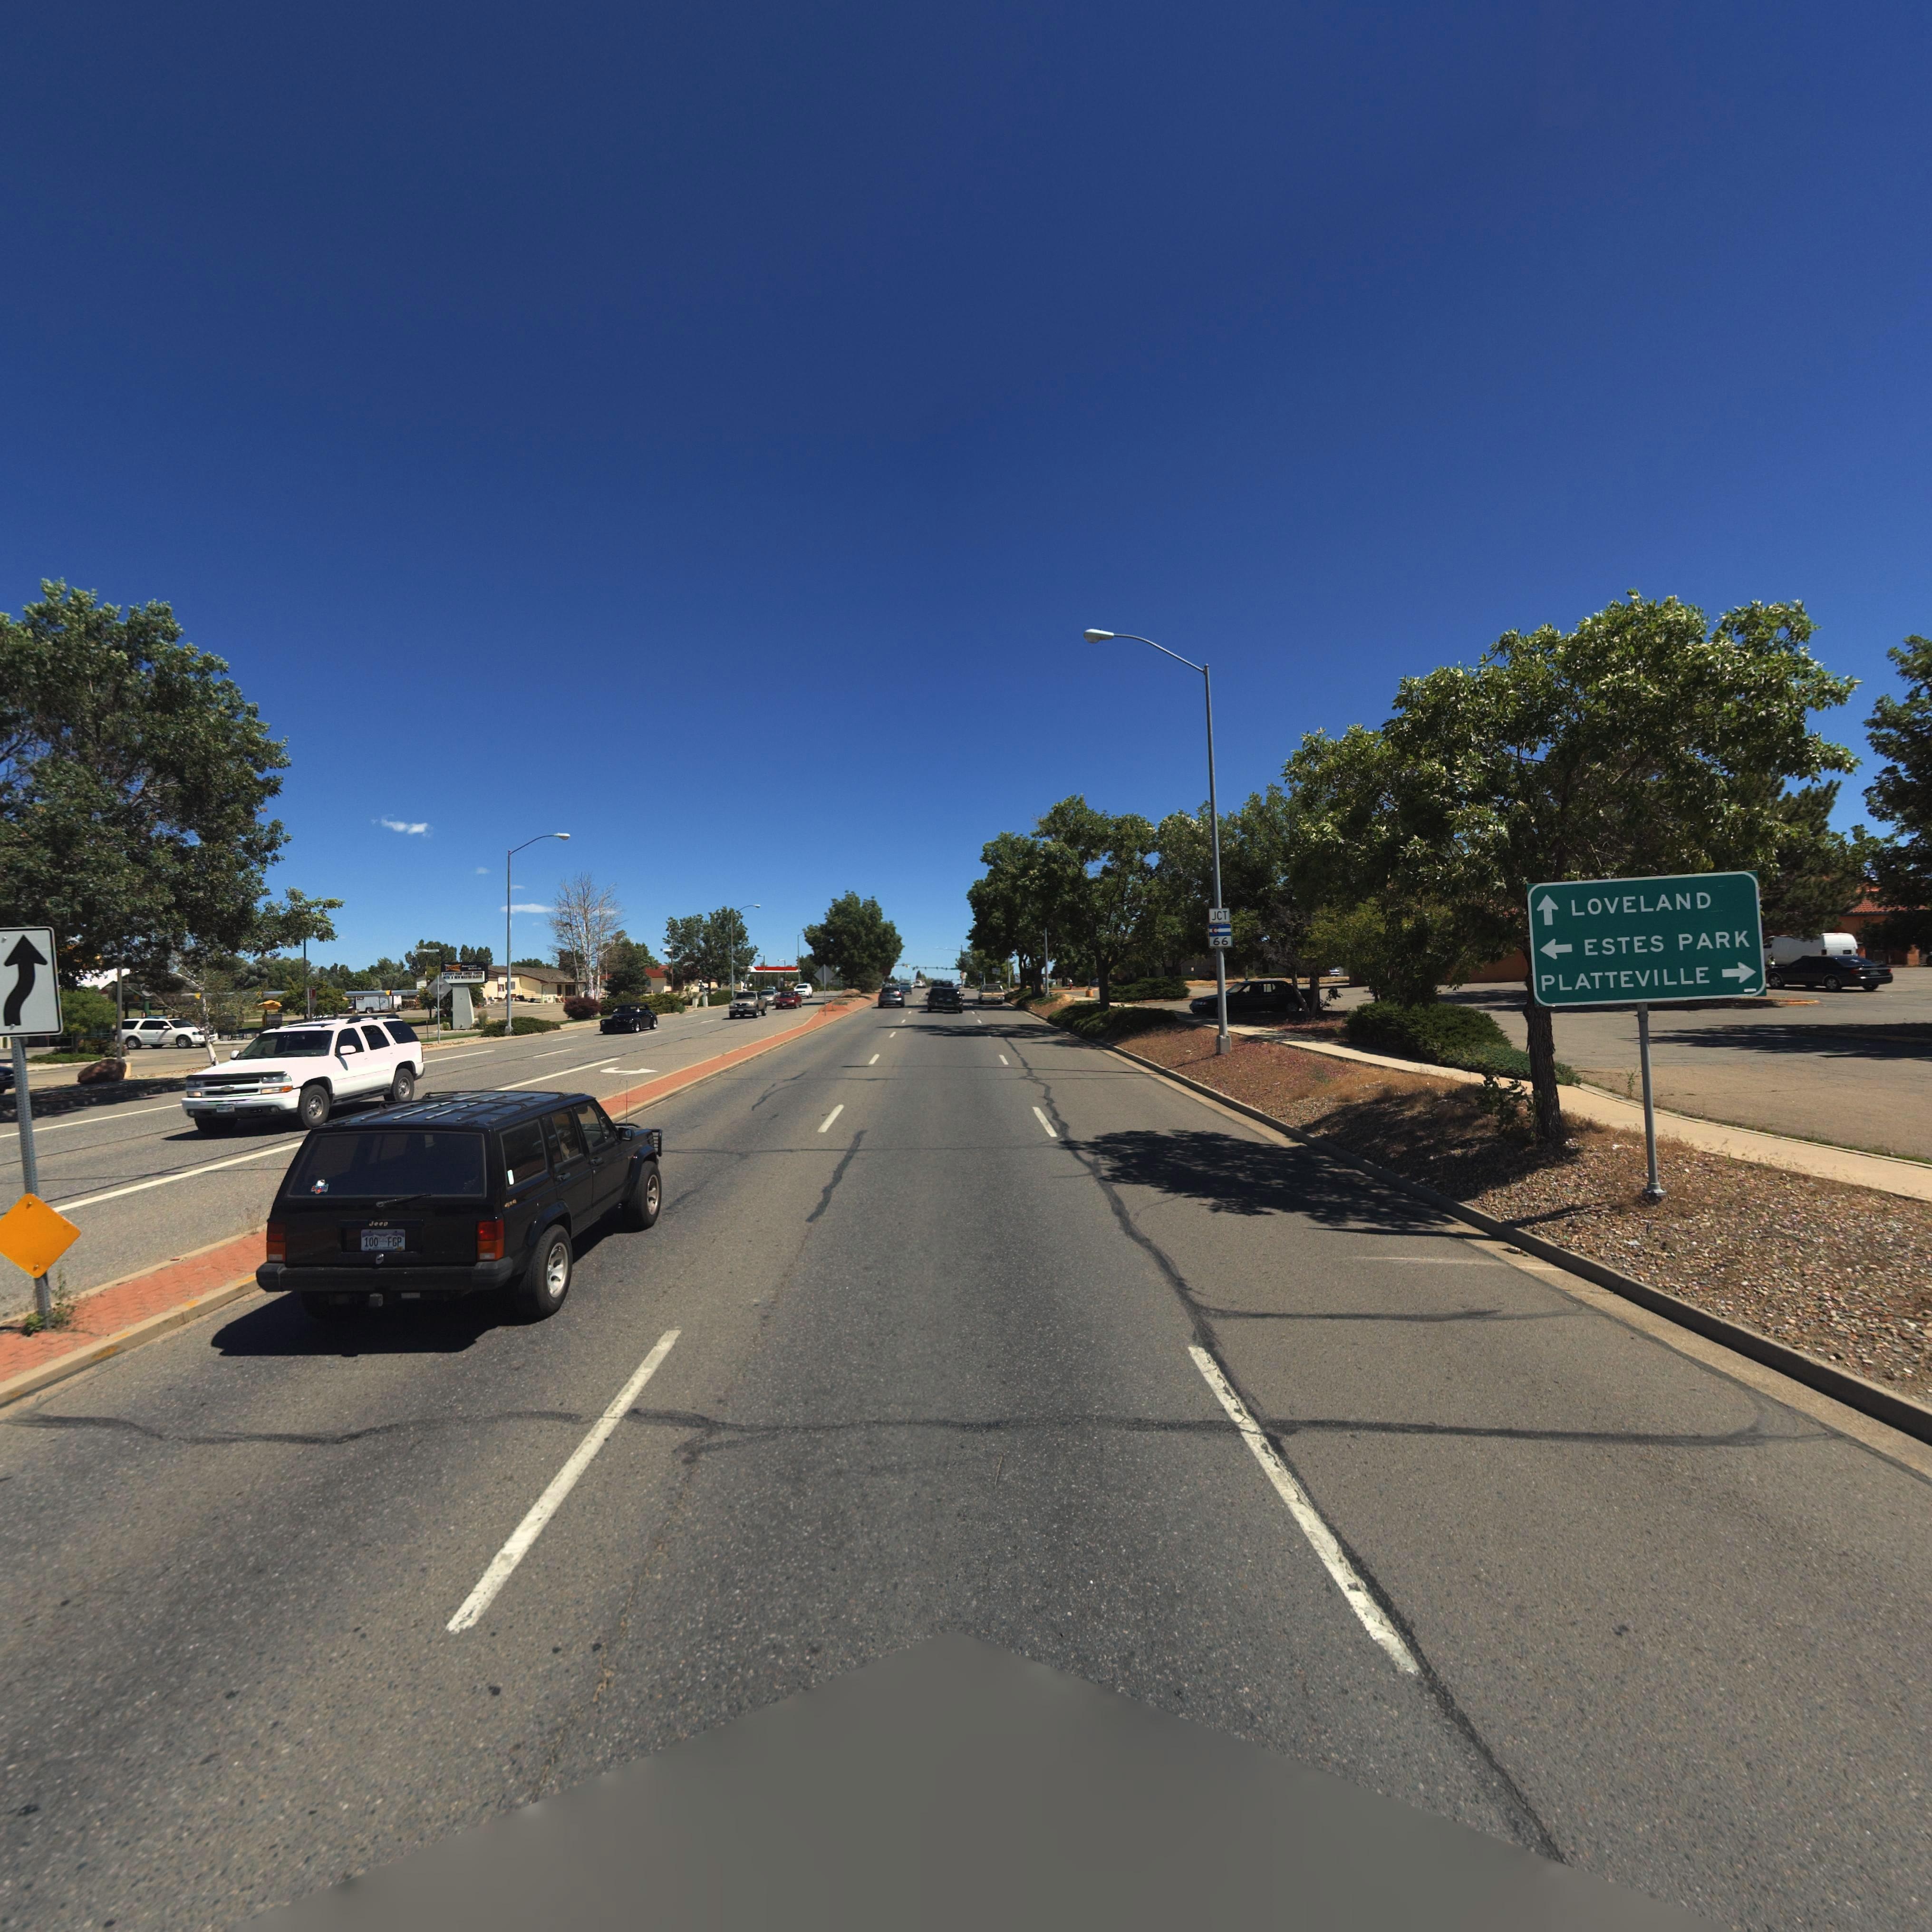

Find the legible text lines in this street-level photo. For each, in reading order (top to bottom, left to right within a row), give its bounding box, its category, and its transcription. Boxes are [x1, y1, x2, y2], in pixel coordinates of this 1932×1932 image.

[445, 965, 460, 969] BusinessName: SON**